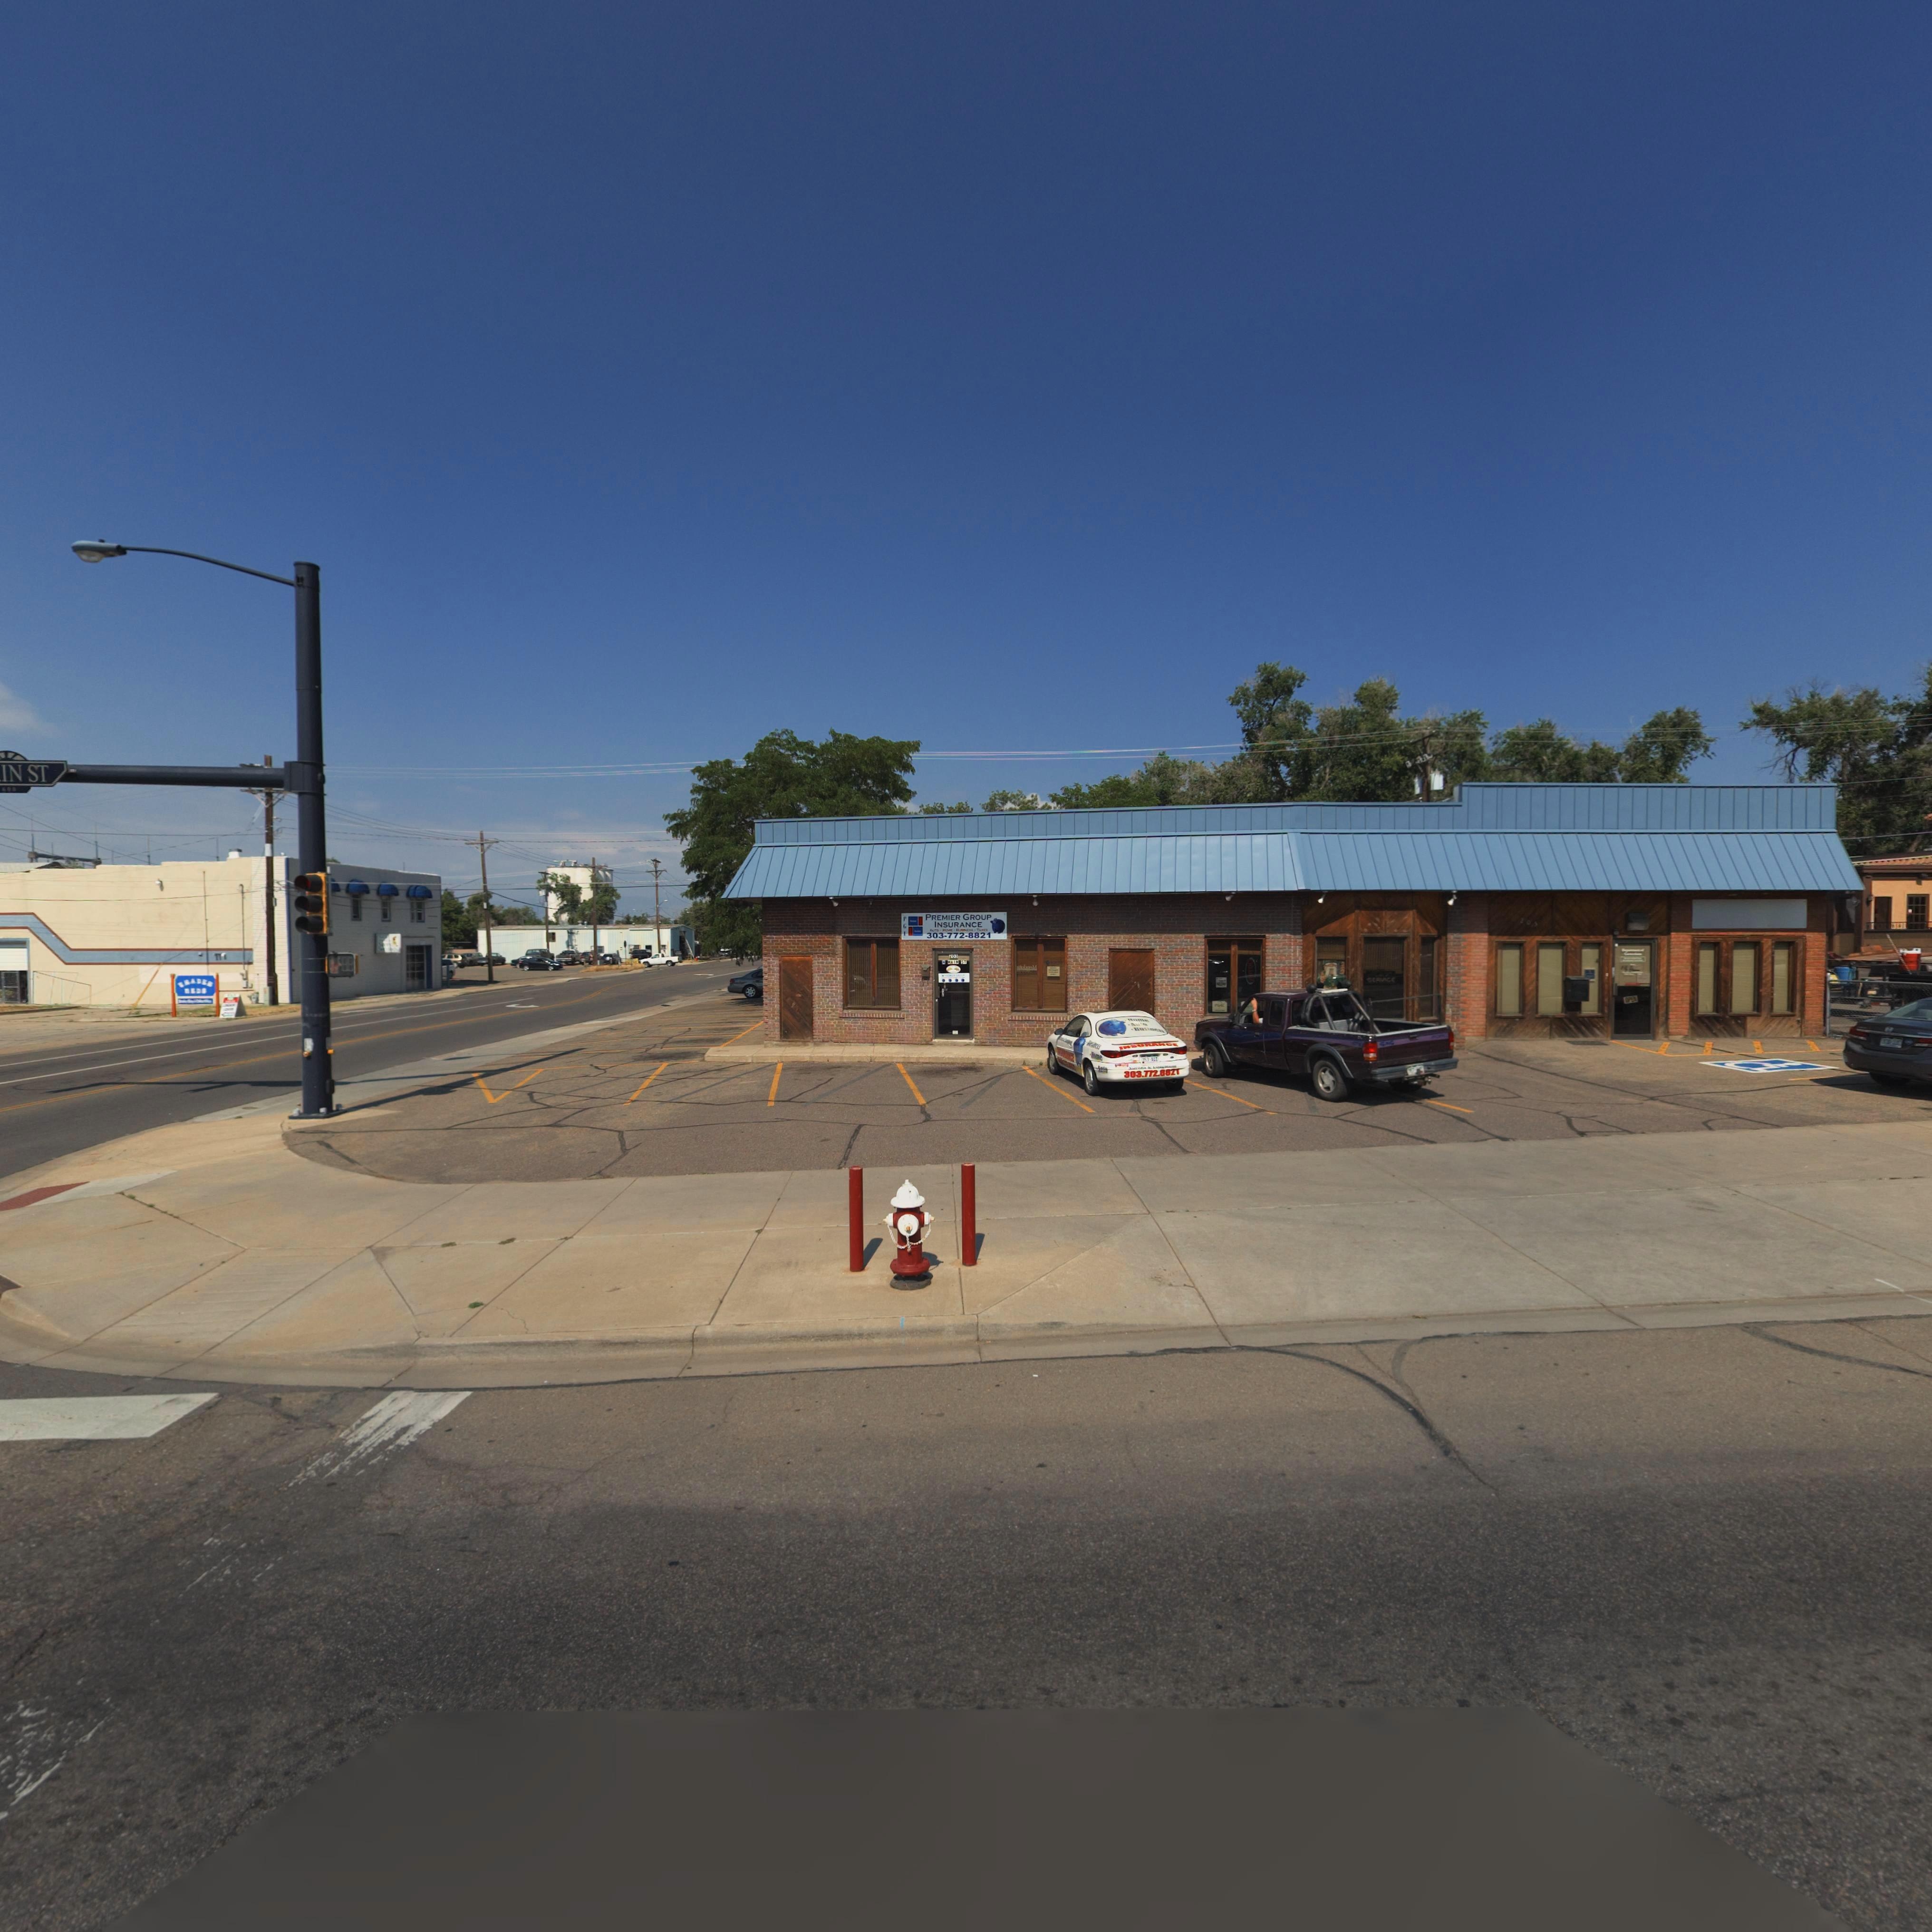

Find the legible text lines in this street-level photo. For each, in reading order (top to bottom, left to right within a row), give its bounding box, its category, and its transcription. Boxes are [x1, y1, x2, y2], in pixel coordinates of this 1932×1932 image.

[1, 763, 49, 782] StreetName: IN ST
[925, 913, 992, 920] BusinessName: PREMIER GROUP
[934, 920, 982, 927] BusinessName: INSURANCE
[1520, 917, 1537, 927] StreetNumber: 20*
[949, 954, 957, 958] StreetNumber: 20*
[947, 960, 966, 964] StreetName: *AIN ST